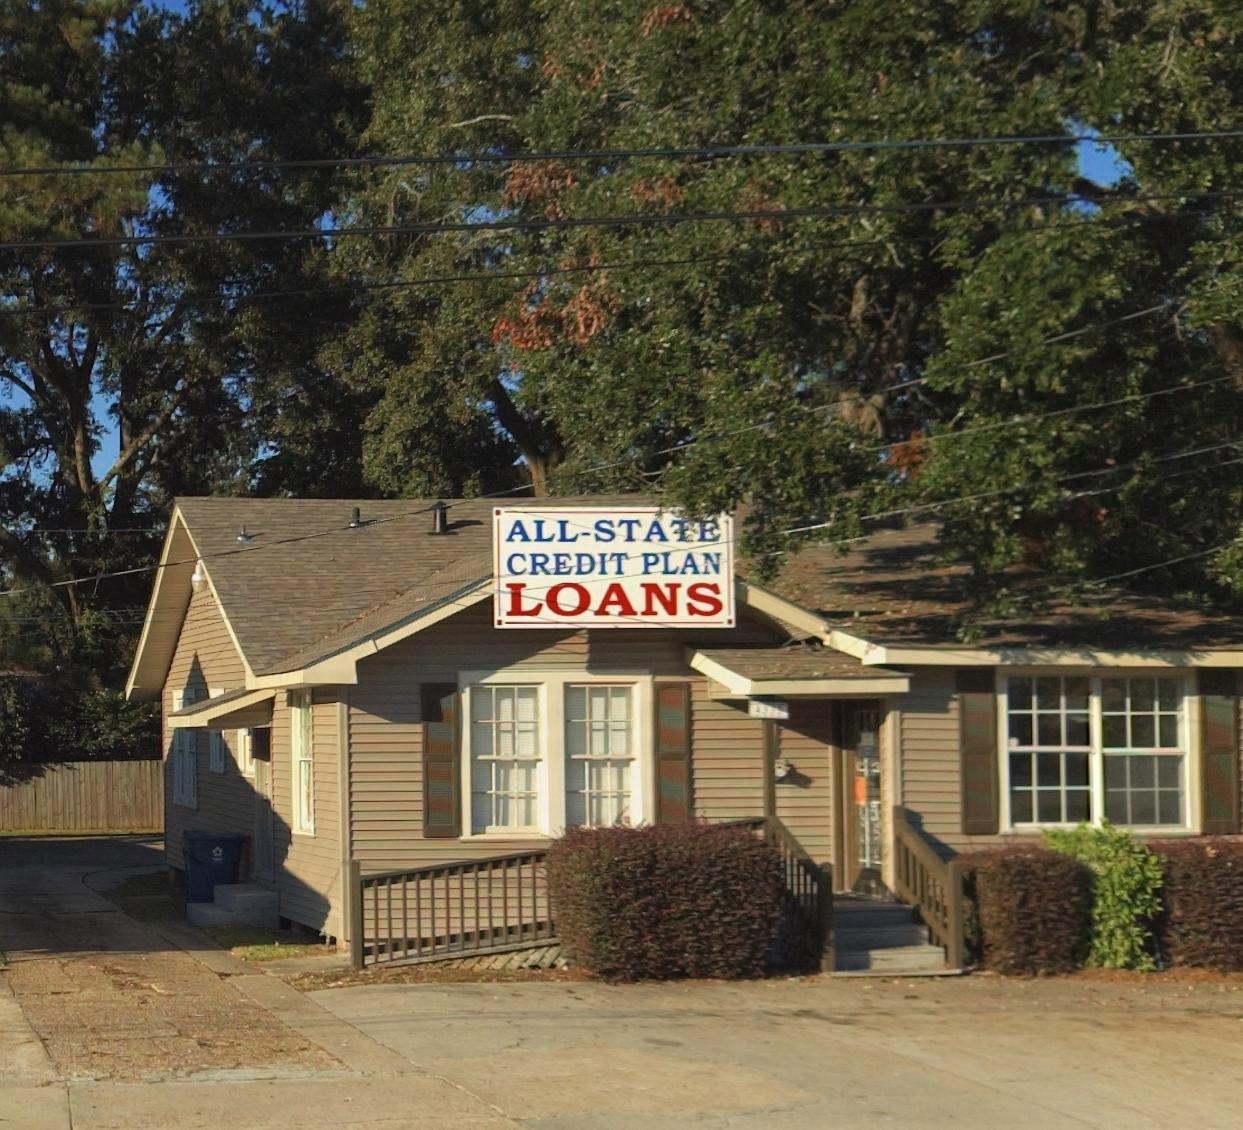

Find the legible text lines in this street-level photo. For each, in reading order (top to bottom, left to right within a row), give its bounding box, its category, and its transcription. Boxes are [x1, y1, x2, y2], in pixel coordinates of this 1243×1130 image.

[504, 519, 722, 543] BusinessName: ALL-STATE
[505, 552, 724, 576] BusinessName: CREDIT PLAN
[504, 582, 724, 618] BusinessName: LOANS
[751, 703, 787, 718] StreetNumber: 4**5